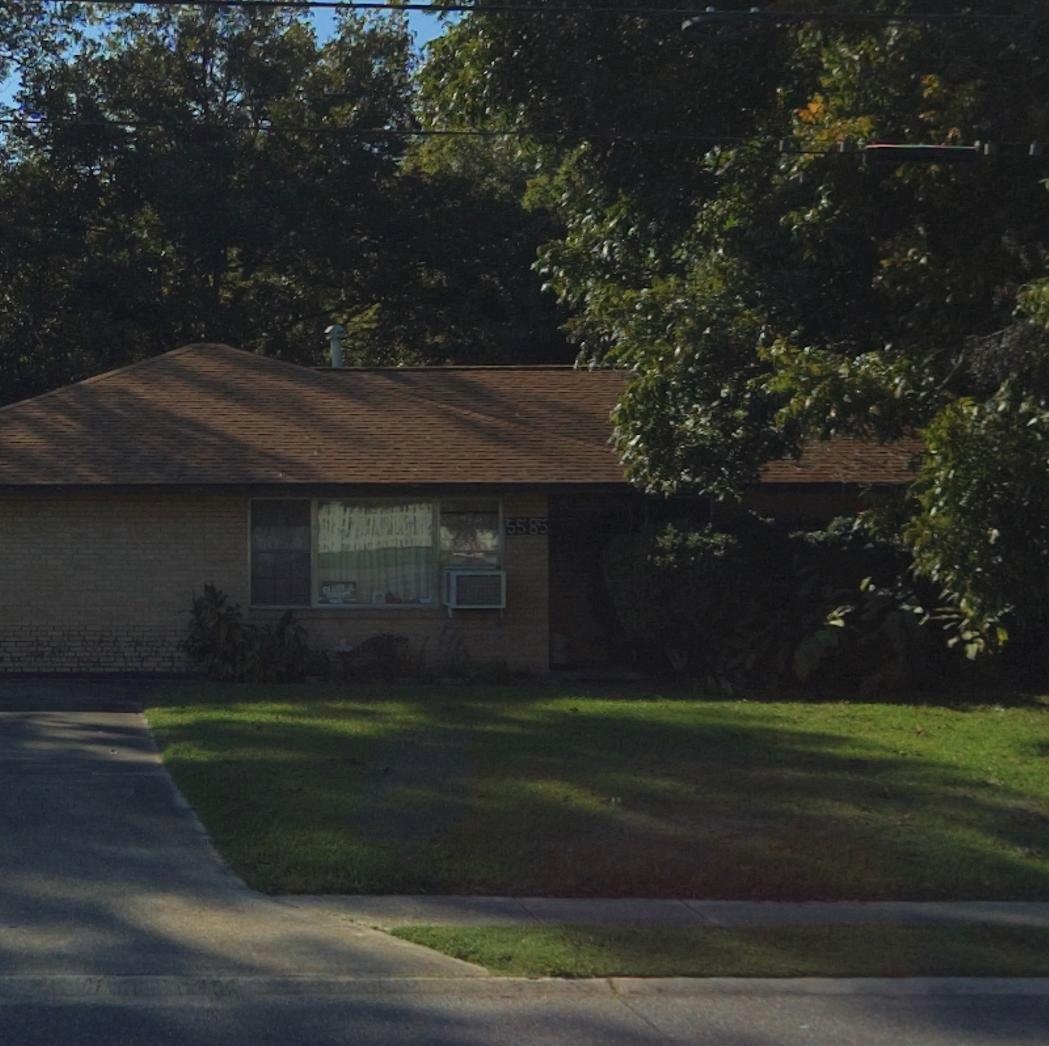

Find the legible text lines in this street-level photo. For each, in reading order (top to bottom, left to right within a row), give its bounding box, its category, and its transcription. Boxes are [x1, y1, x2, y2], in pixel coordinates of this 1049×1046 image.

[505, 517, 549, 536] StreetNumber: 5585